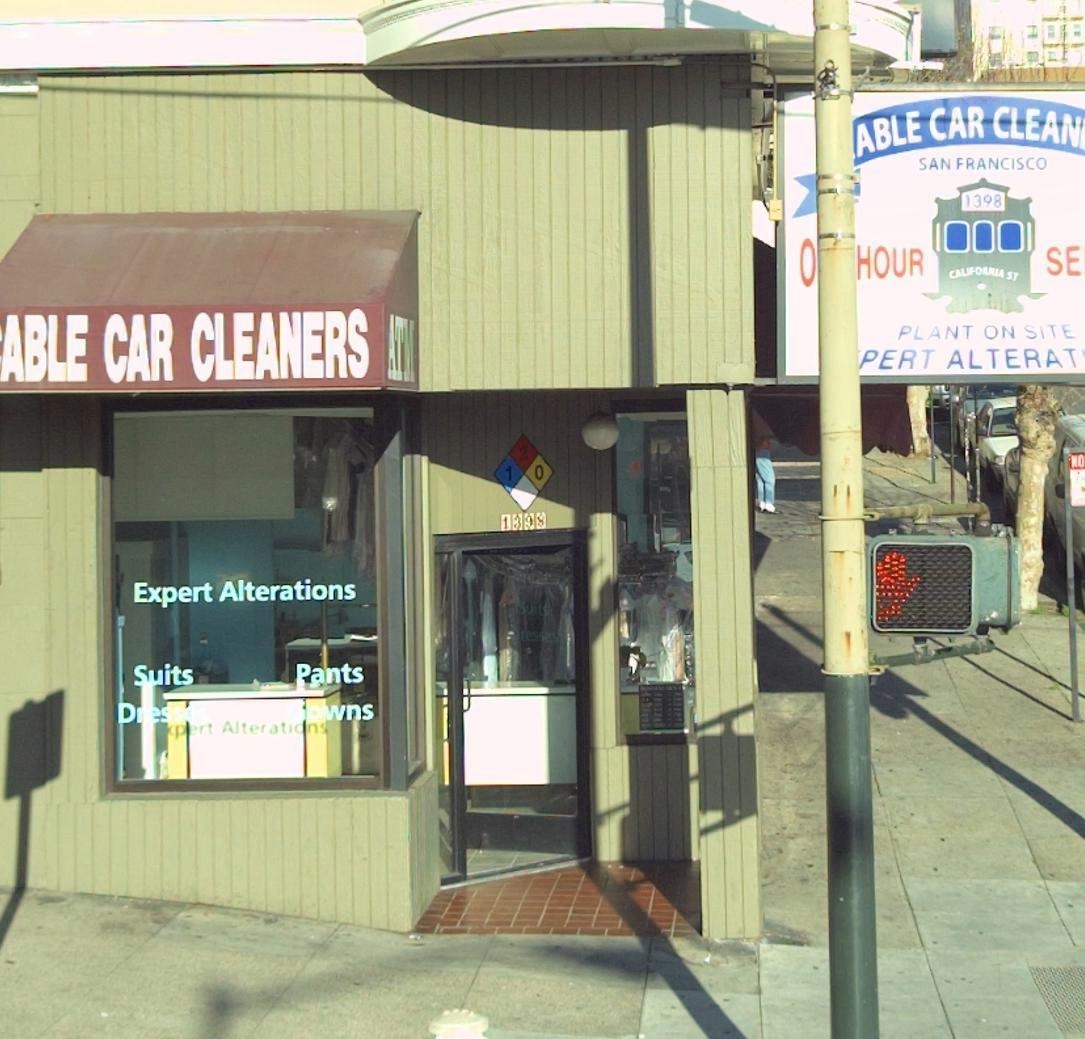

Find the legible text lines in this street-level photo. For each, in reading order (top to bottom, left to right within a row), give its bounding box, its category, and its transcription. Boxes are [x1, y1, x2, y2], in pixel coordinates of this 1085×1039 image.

[855, 103, 1083, 160] BusinessName: ABLE CAR CLEAN
[917, 155, 1049, 171] None: SAN FRANCISCO
[964, 193, 1003, 210] StreetNumber: 1398
[797, 236, 925, 291] None: O** HOUR
[947, 265, 1021, 282] StreetName: CALIFORNIA ST
[1046, 243, 1083, 279] None: SE
[896, 322, 1079, 341] None: PLANT ON SITE
[0, 307, 371, 384] BusinessName: ABLE CAR CLEANERS
[386, 311, 416, 386] None: ATM
[855, 347, 1085, 371] None: PERT ALTERAT
[505, 463, 513, 481] None: 1
[518, 443, 530, 462] None: 2
[533, 463, 545, 482] None: 0
[1069, 453, 1085, 469] None: NO
[501, 511, 546, 532] StreetNumber: 1398
[132, 576, 358, 609] None: Expert Alterations
[131, 661, 195, 688] None: Suits
[295, 661, 366, 688] None: Pants
[115, 701, 215, 725] None: Dress**
[305, 702, 375, 723] None: owns